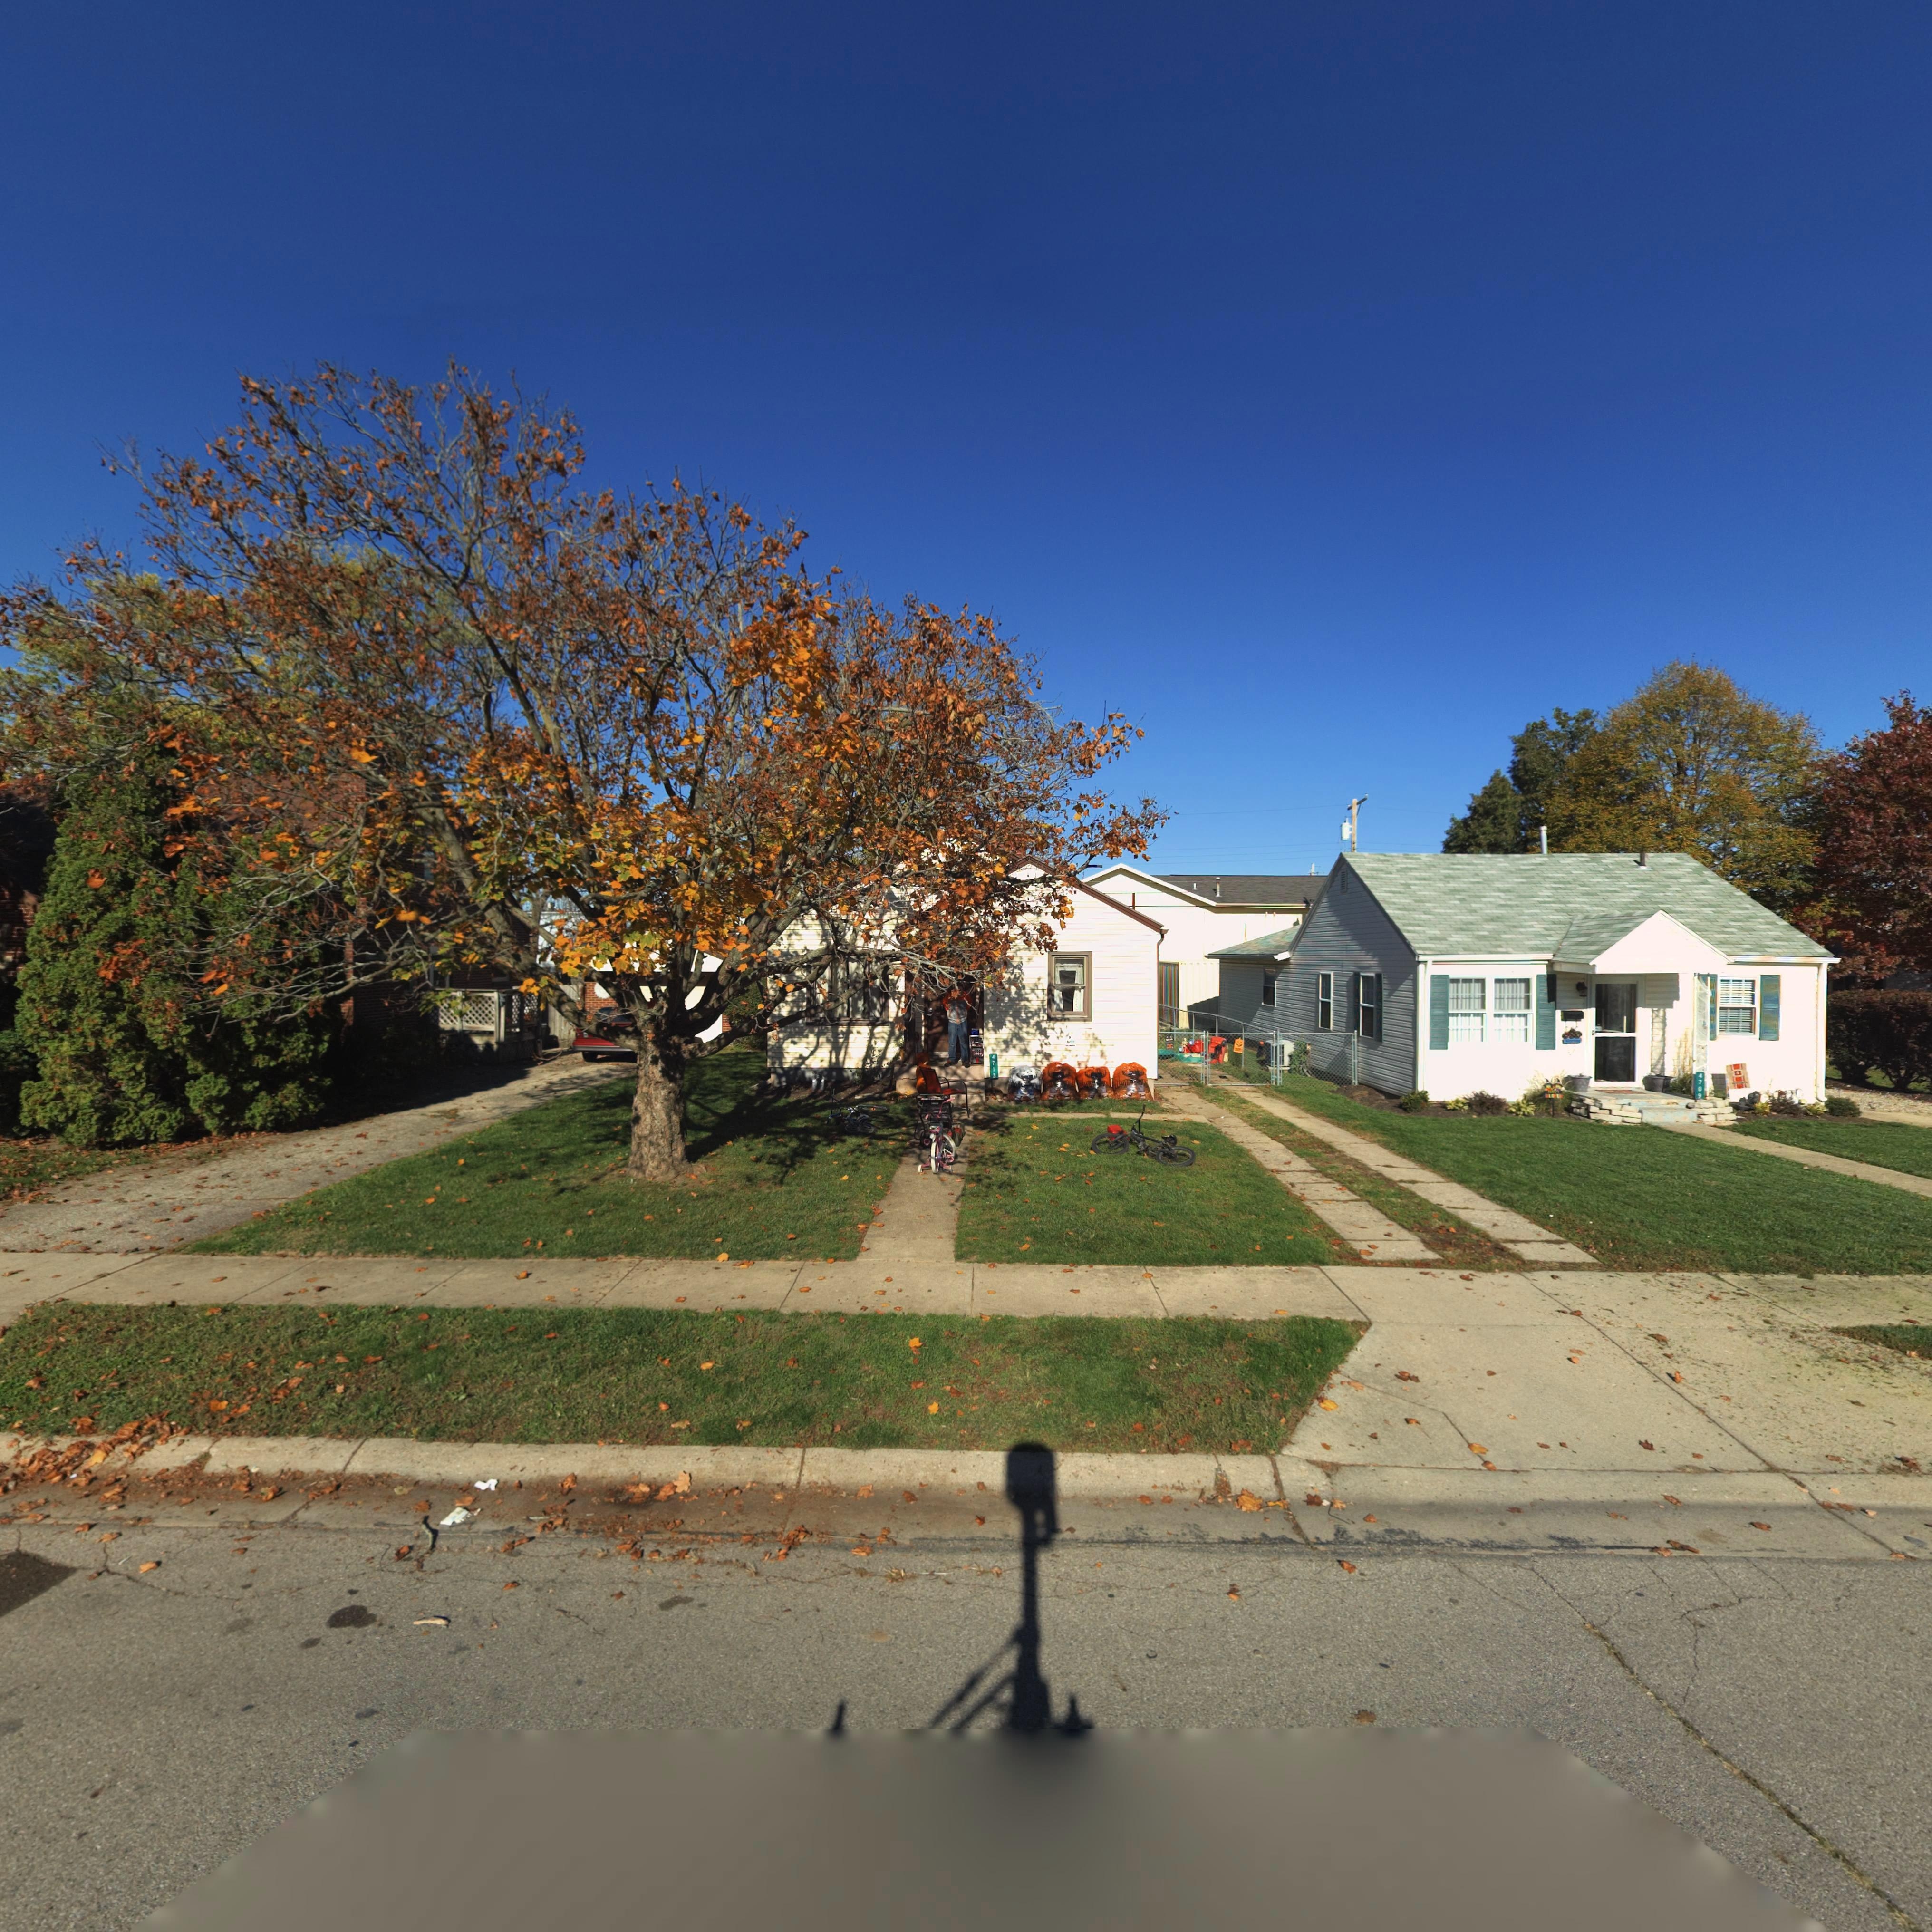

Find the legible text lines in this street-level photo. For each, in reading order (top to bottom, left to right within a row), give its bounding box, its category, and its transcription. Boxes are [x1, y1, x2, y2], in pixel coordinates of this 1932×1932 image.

[991, 1053, 997, 1079] StreetNumber: 4713
[1697, 1072, 1704, 1100] StreetNumber: 4709